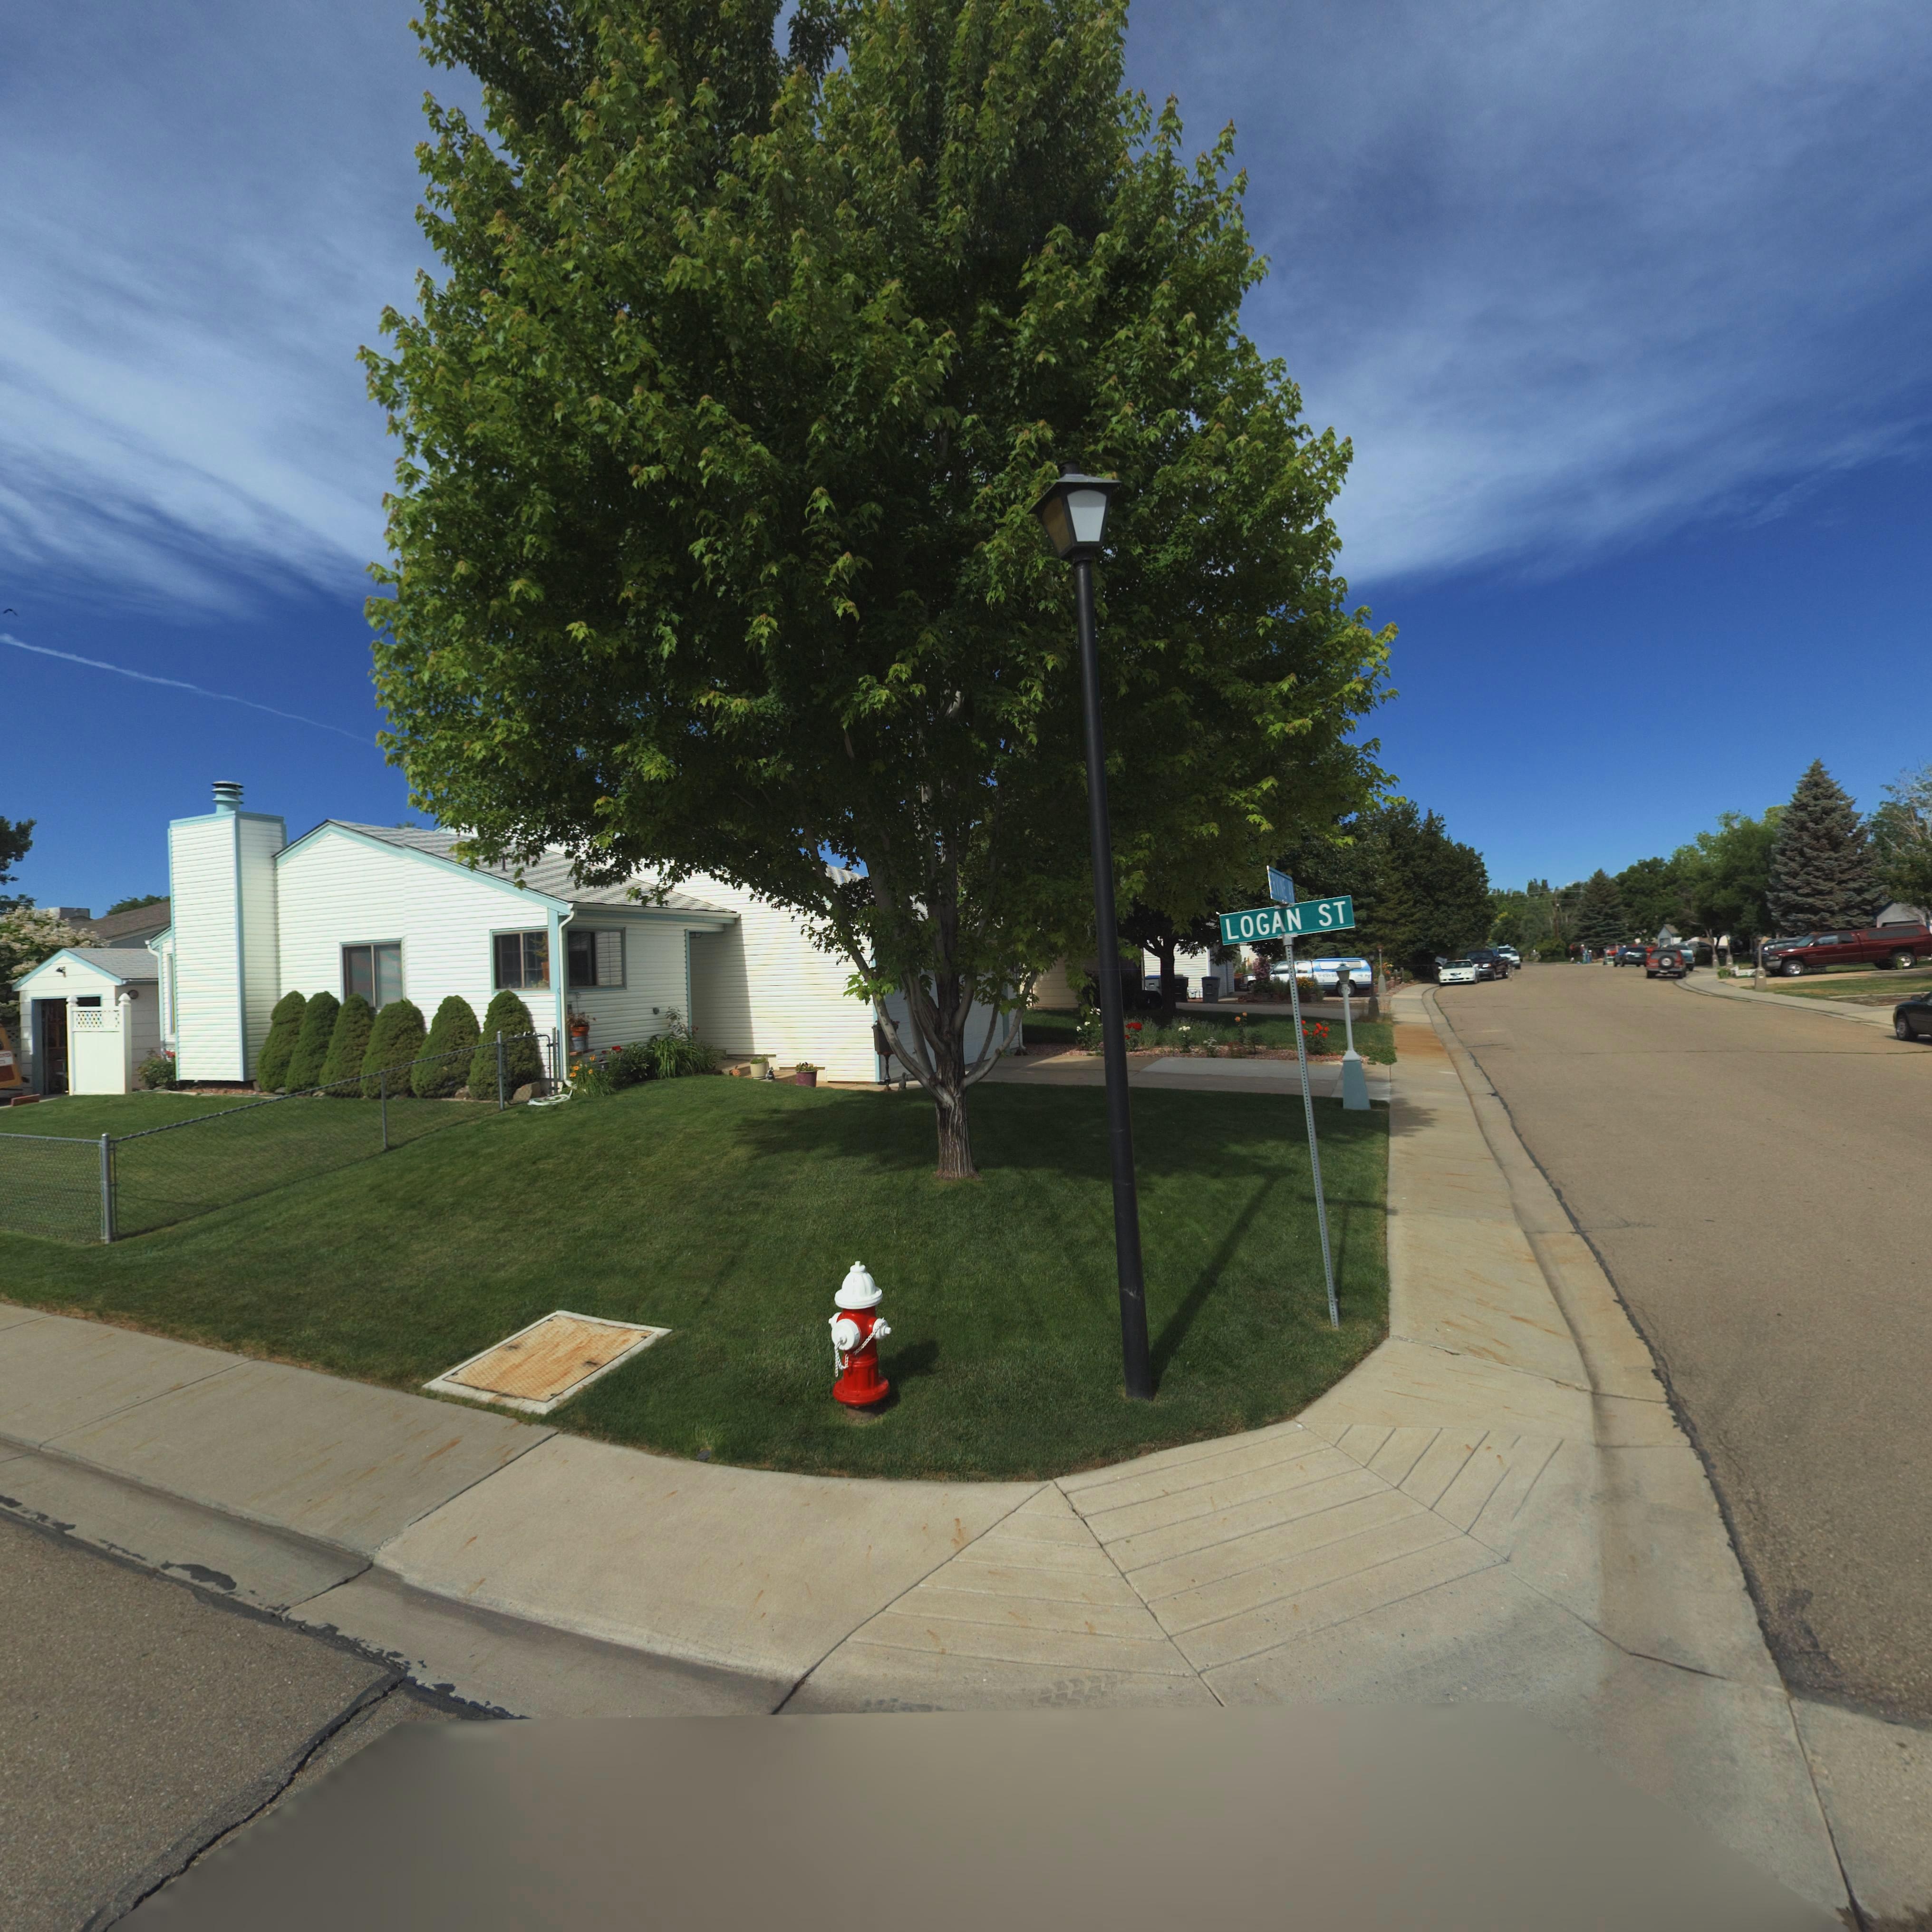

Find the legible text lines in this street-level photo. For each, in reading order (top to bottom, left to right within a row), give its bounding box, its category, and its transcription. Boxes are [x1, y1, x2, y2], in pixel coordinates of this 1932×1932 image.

[1268, 870, 1294, 902] StreetName: ERVINE AV
[1225, 900, 1345, 940] StreetName: LOGAN ST